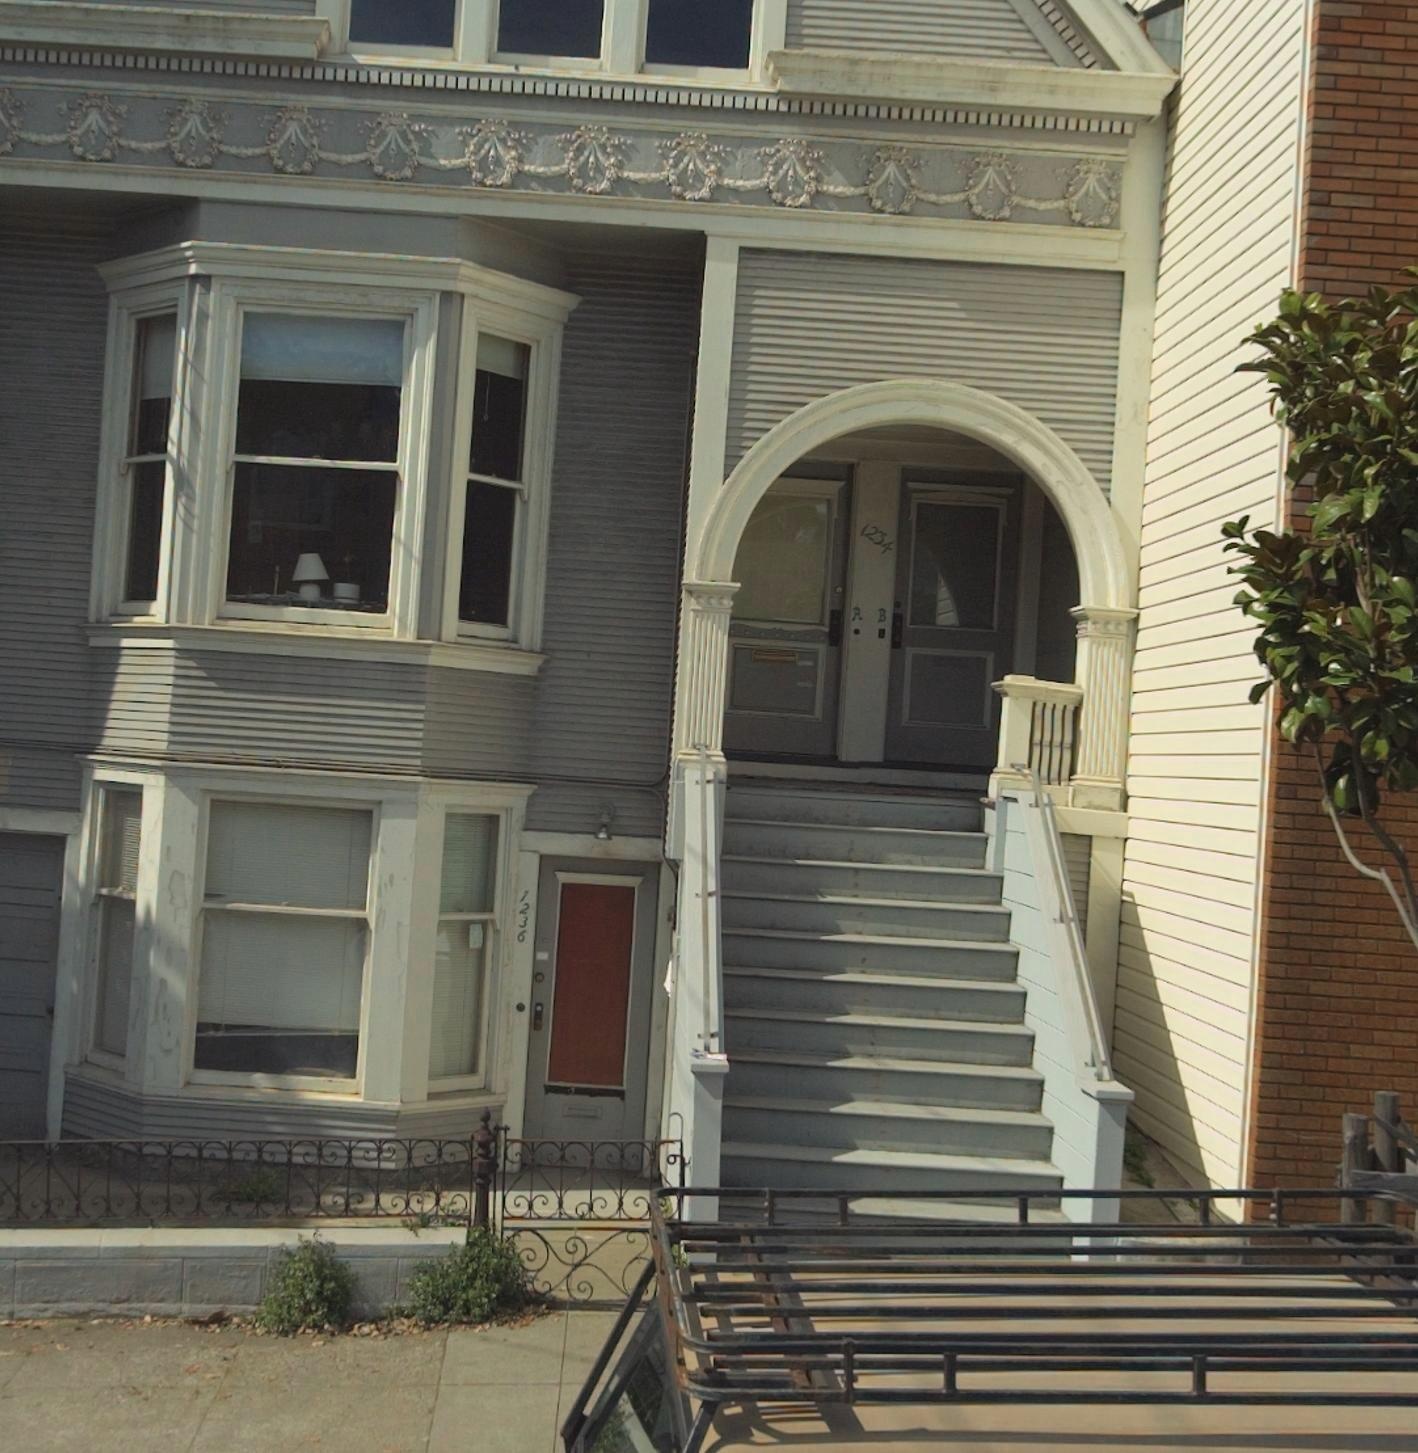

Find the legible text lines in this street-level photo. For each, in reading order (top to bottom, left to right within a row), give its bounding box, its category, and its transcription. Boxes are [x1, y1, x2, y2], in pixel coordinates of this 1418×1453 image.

[856, 520, 898, 556] StreetNumber: 1234
[851, 606, 864, 623] StreetNumber: A
[877, 607, 887, 624] StreetNumber: B
[515, 888, 531, 943] StreetNumber: 1236